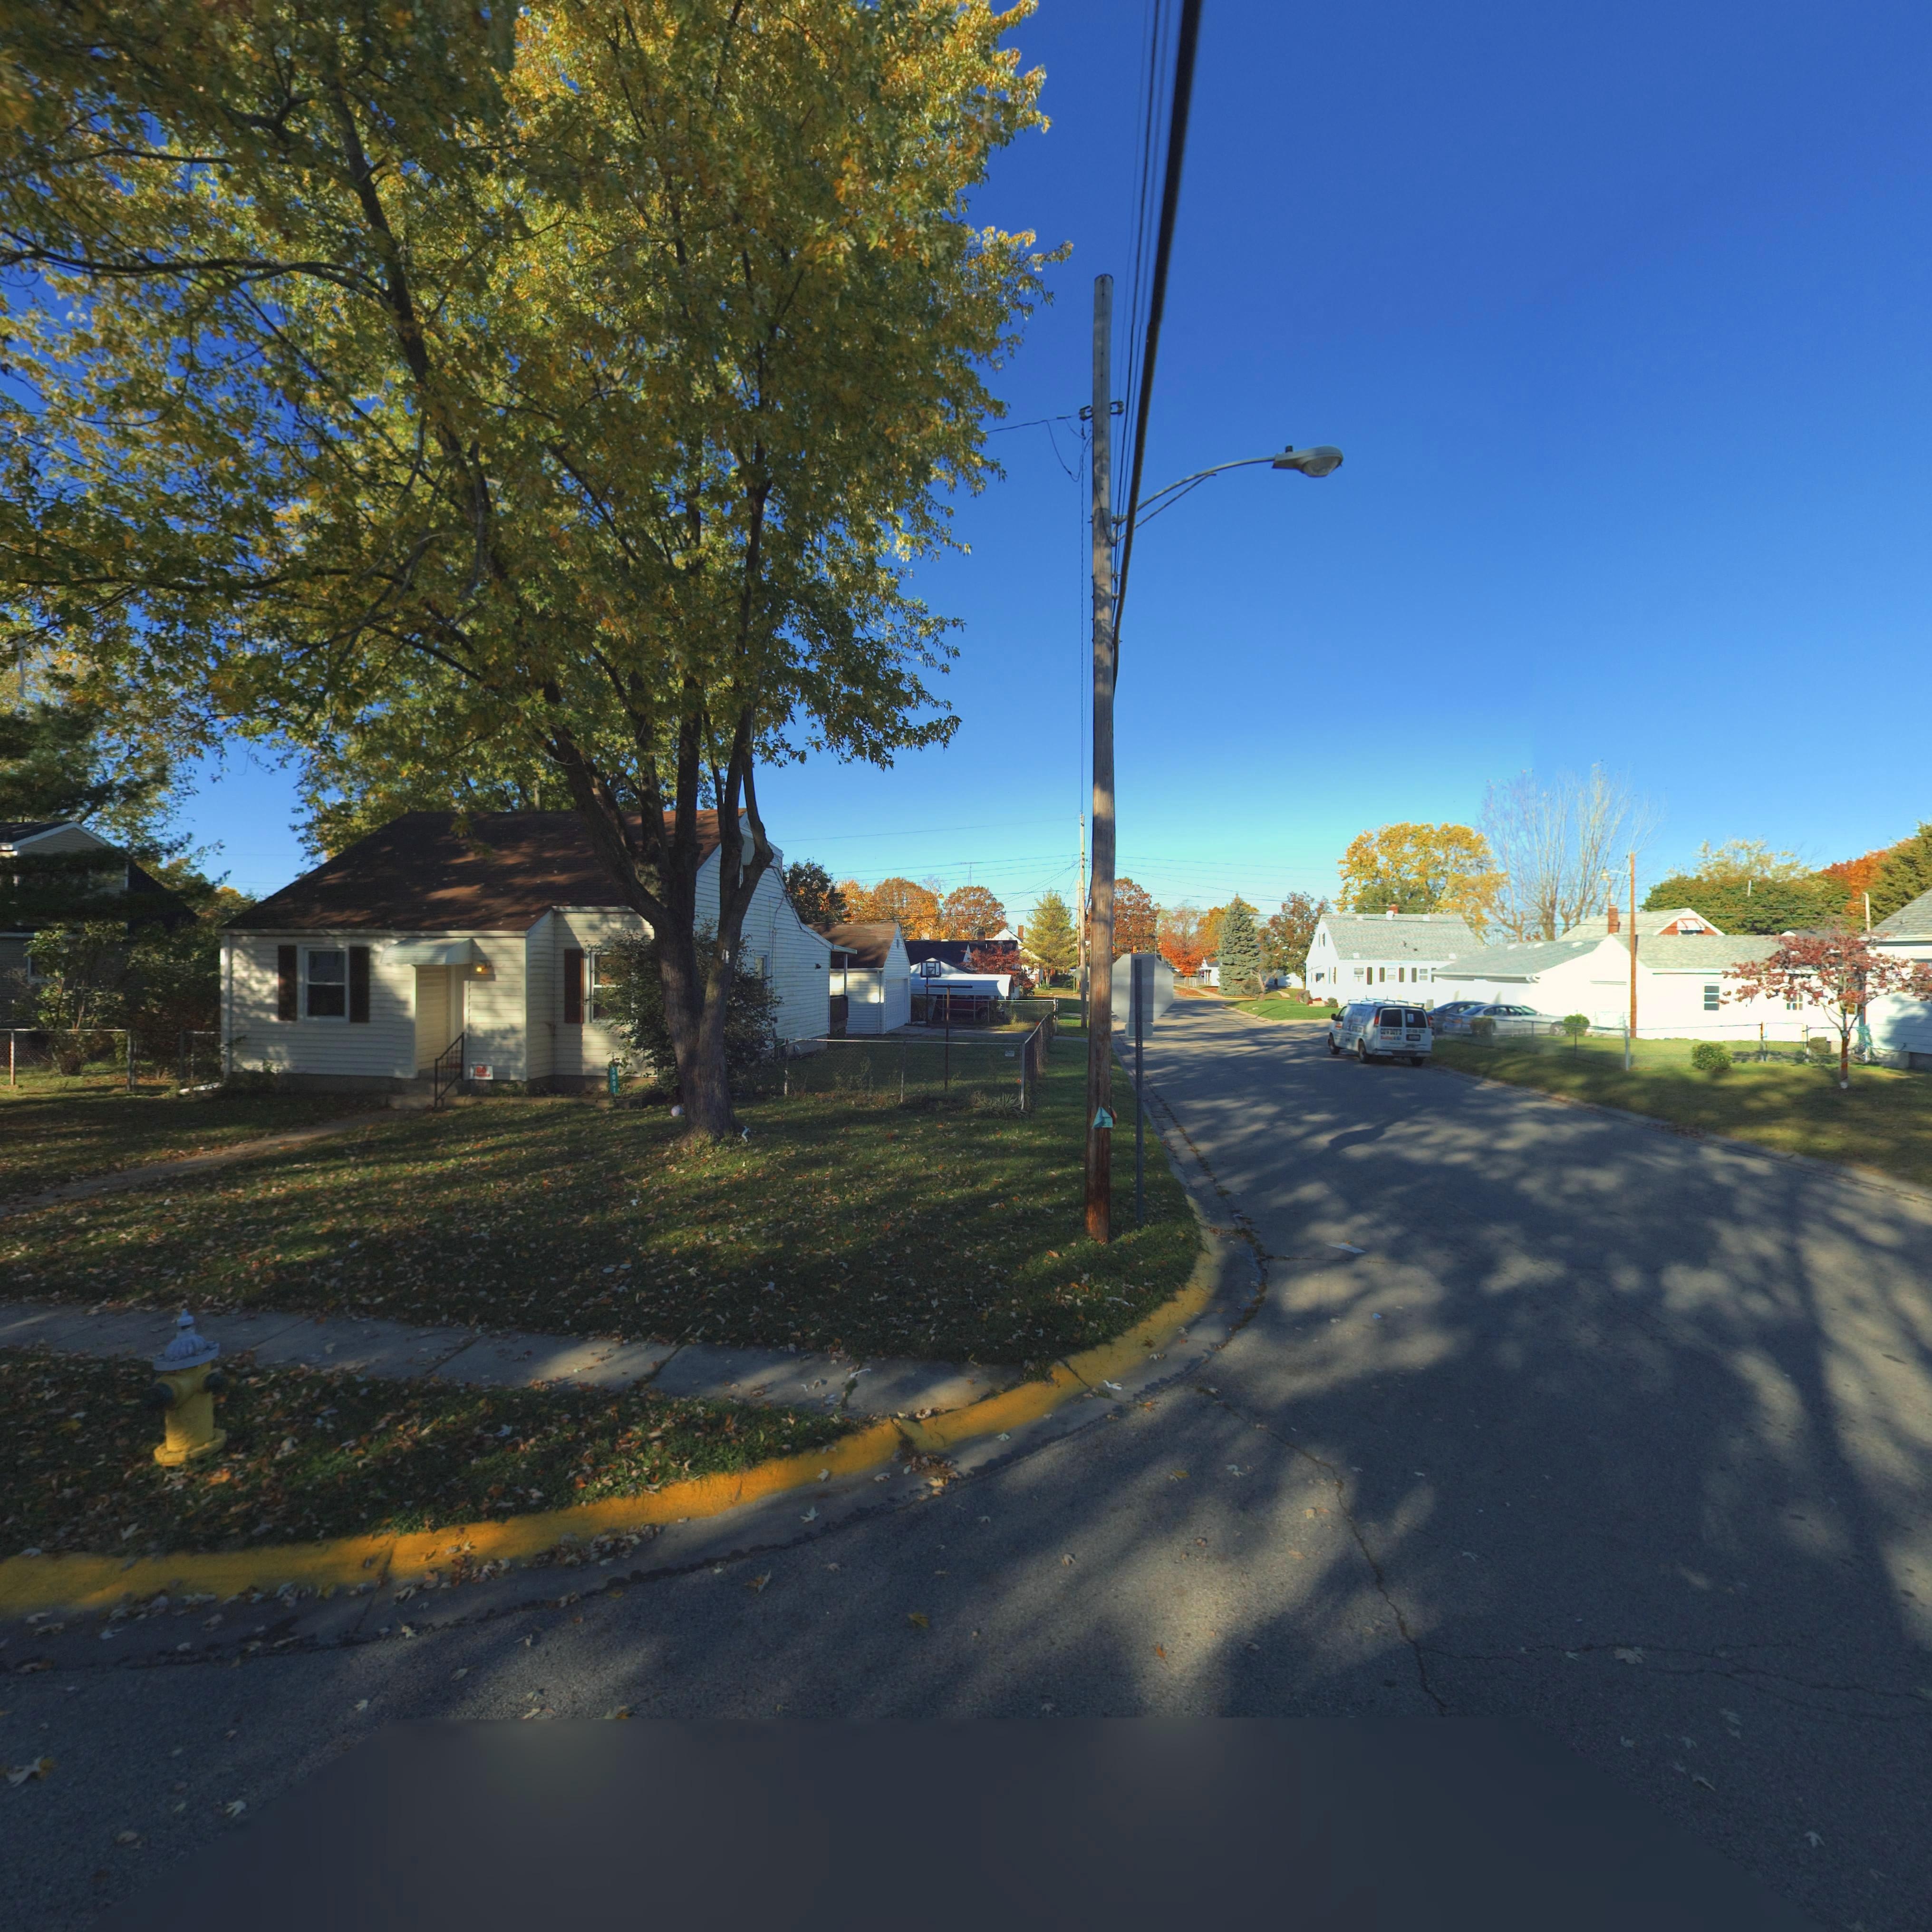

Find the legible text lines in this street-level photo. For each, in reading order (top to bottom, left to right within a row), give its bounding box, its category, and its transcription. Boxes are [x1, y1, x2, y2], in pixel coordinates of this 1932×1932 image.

[611, 1067, 617, 1093] StreetNumber: 5001